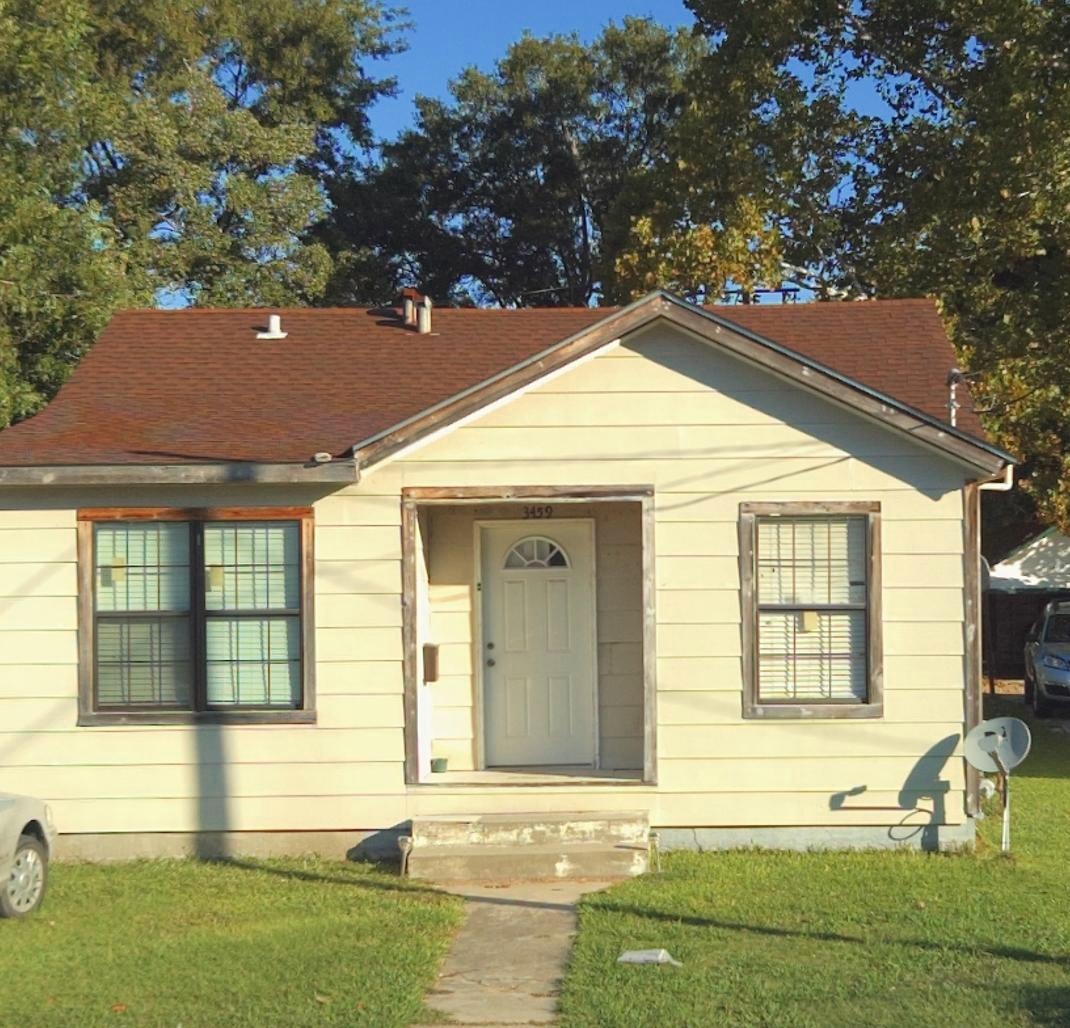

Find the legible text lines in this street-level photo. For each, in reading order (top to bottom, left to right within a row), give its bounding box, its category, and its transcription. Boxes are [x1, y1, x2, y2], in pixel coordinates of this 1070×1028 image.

[521, 504, 554, 520] StreetNumber: 3459